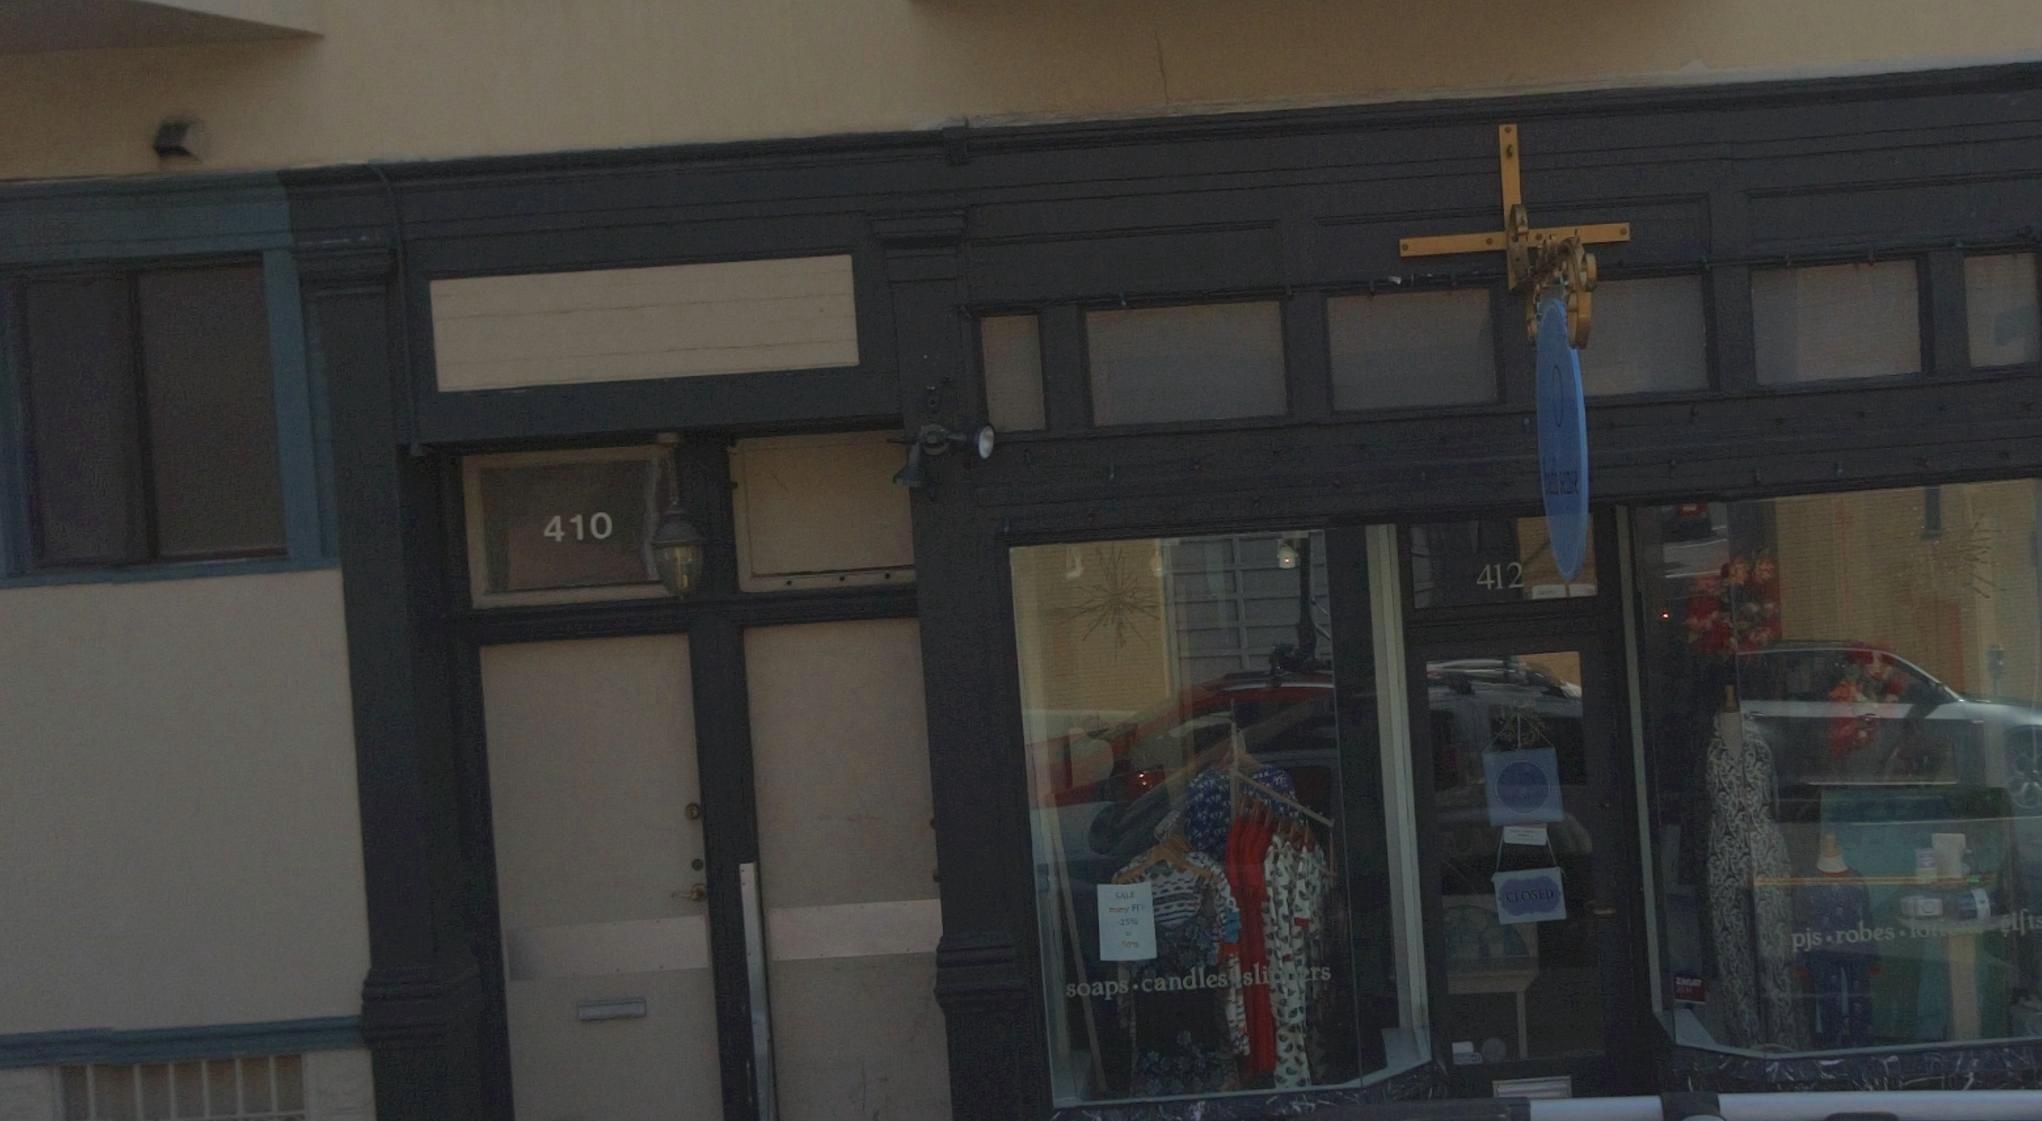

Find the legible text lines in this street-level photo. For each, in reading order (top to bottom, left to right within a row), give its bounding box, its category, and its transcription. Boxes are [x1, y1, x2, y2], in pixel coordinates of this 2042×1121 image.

[539, 509, 616, 545] StreetNumber: 410
[1473, 559, 1527, 593] StreetNumber: 412
[1502, 886, 1557, 905] None: CLOSED
[1789, 904, 2039, 957] None: pjs * robes * *********ift
[1063, 958, 1334, 1004] None: soaps * candles * slip**rs